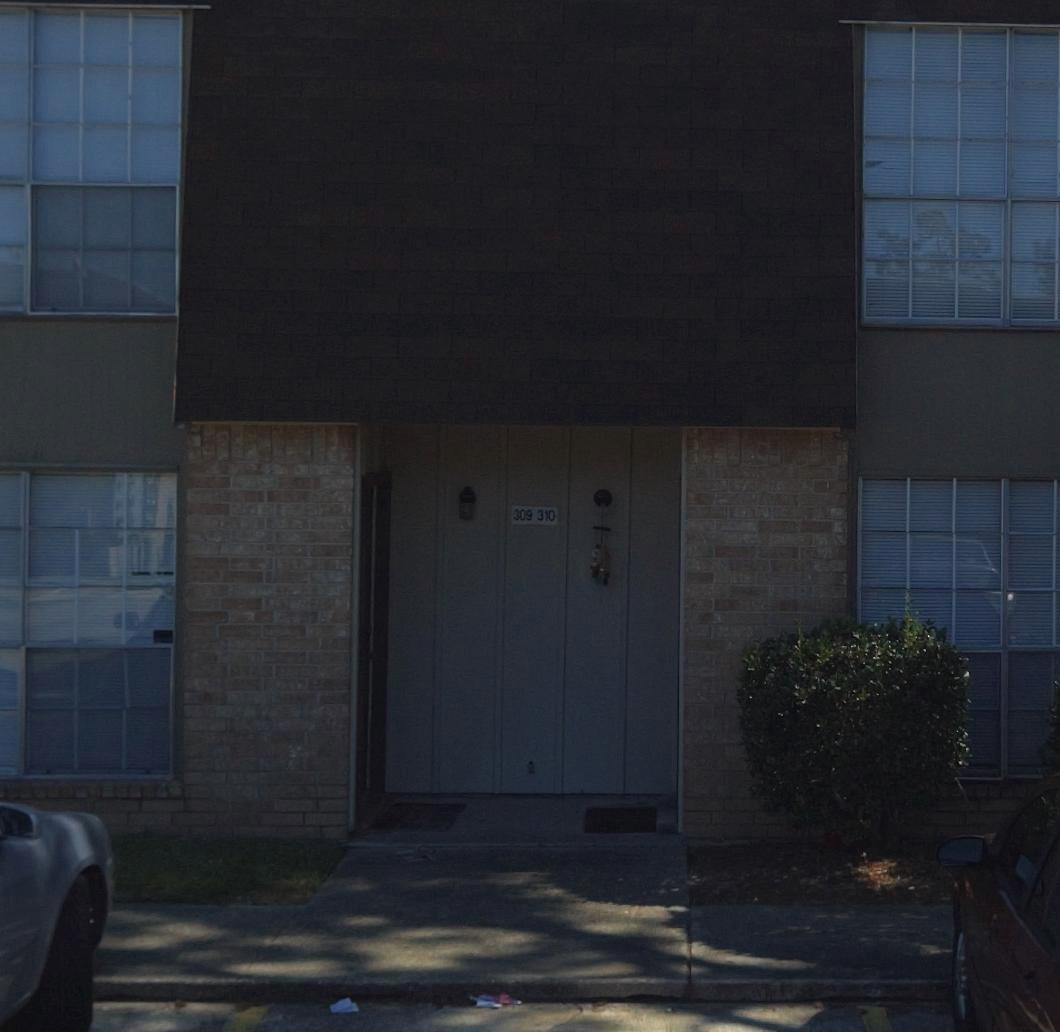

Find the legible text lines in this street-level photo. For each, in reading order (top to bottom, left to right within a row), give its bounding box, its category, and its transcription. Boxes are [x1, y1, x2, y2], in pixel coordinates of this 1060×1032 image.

[512, 507, 534, 523] StreetNumber: 309
[535, 507, 557, 523] StreetNumber: 310